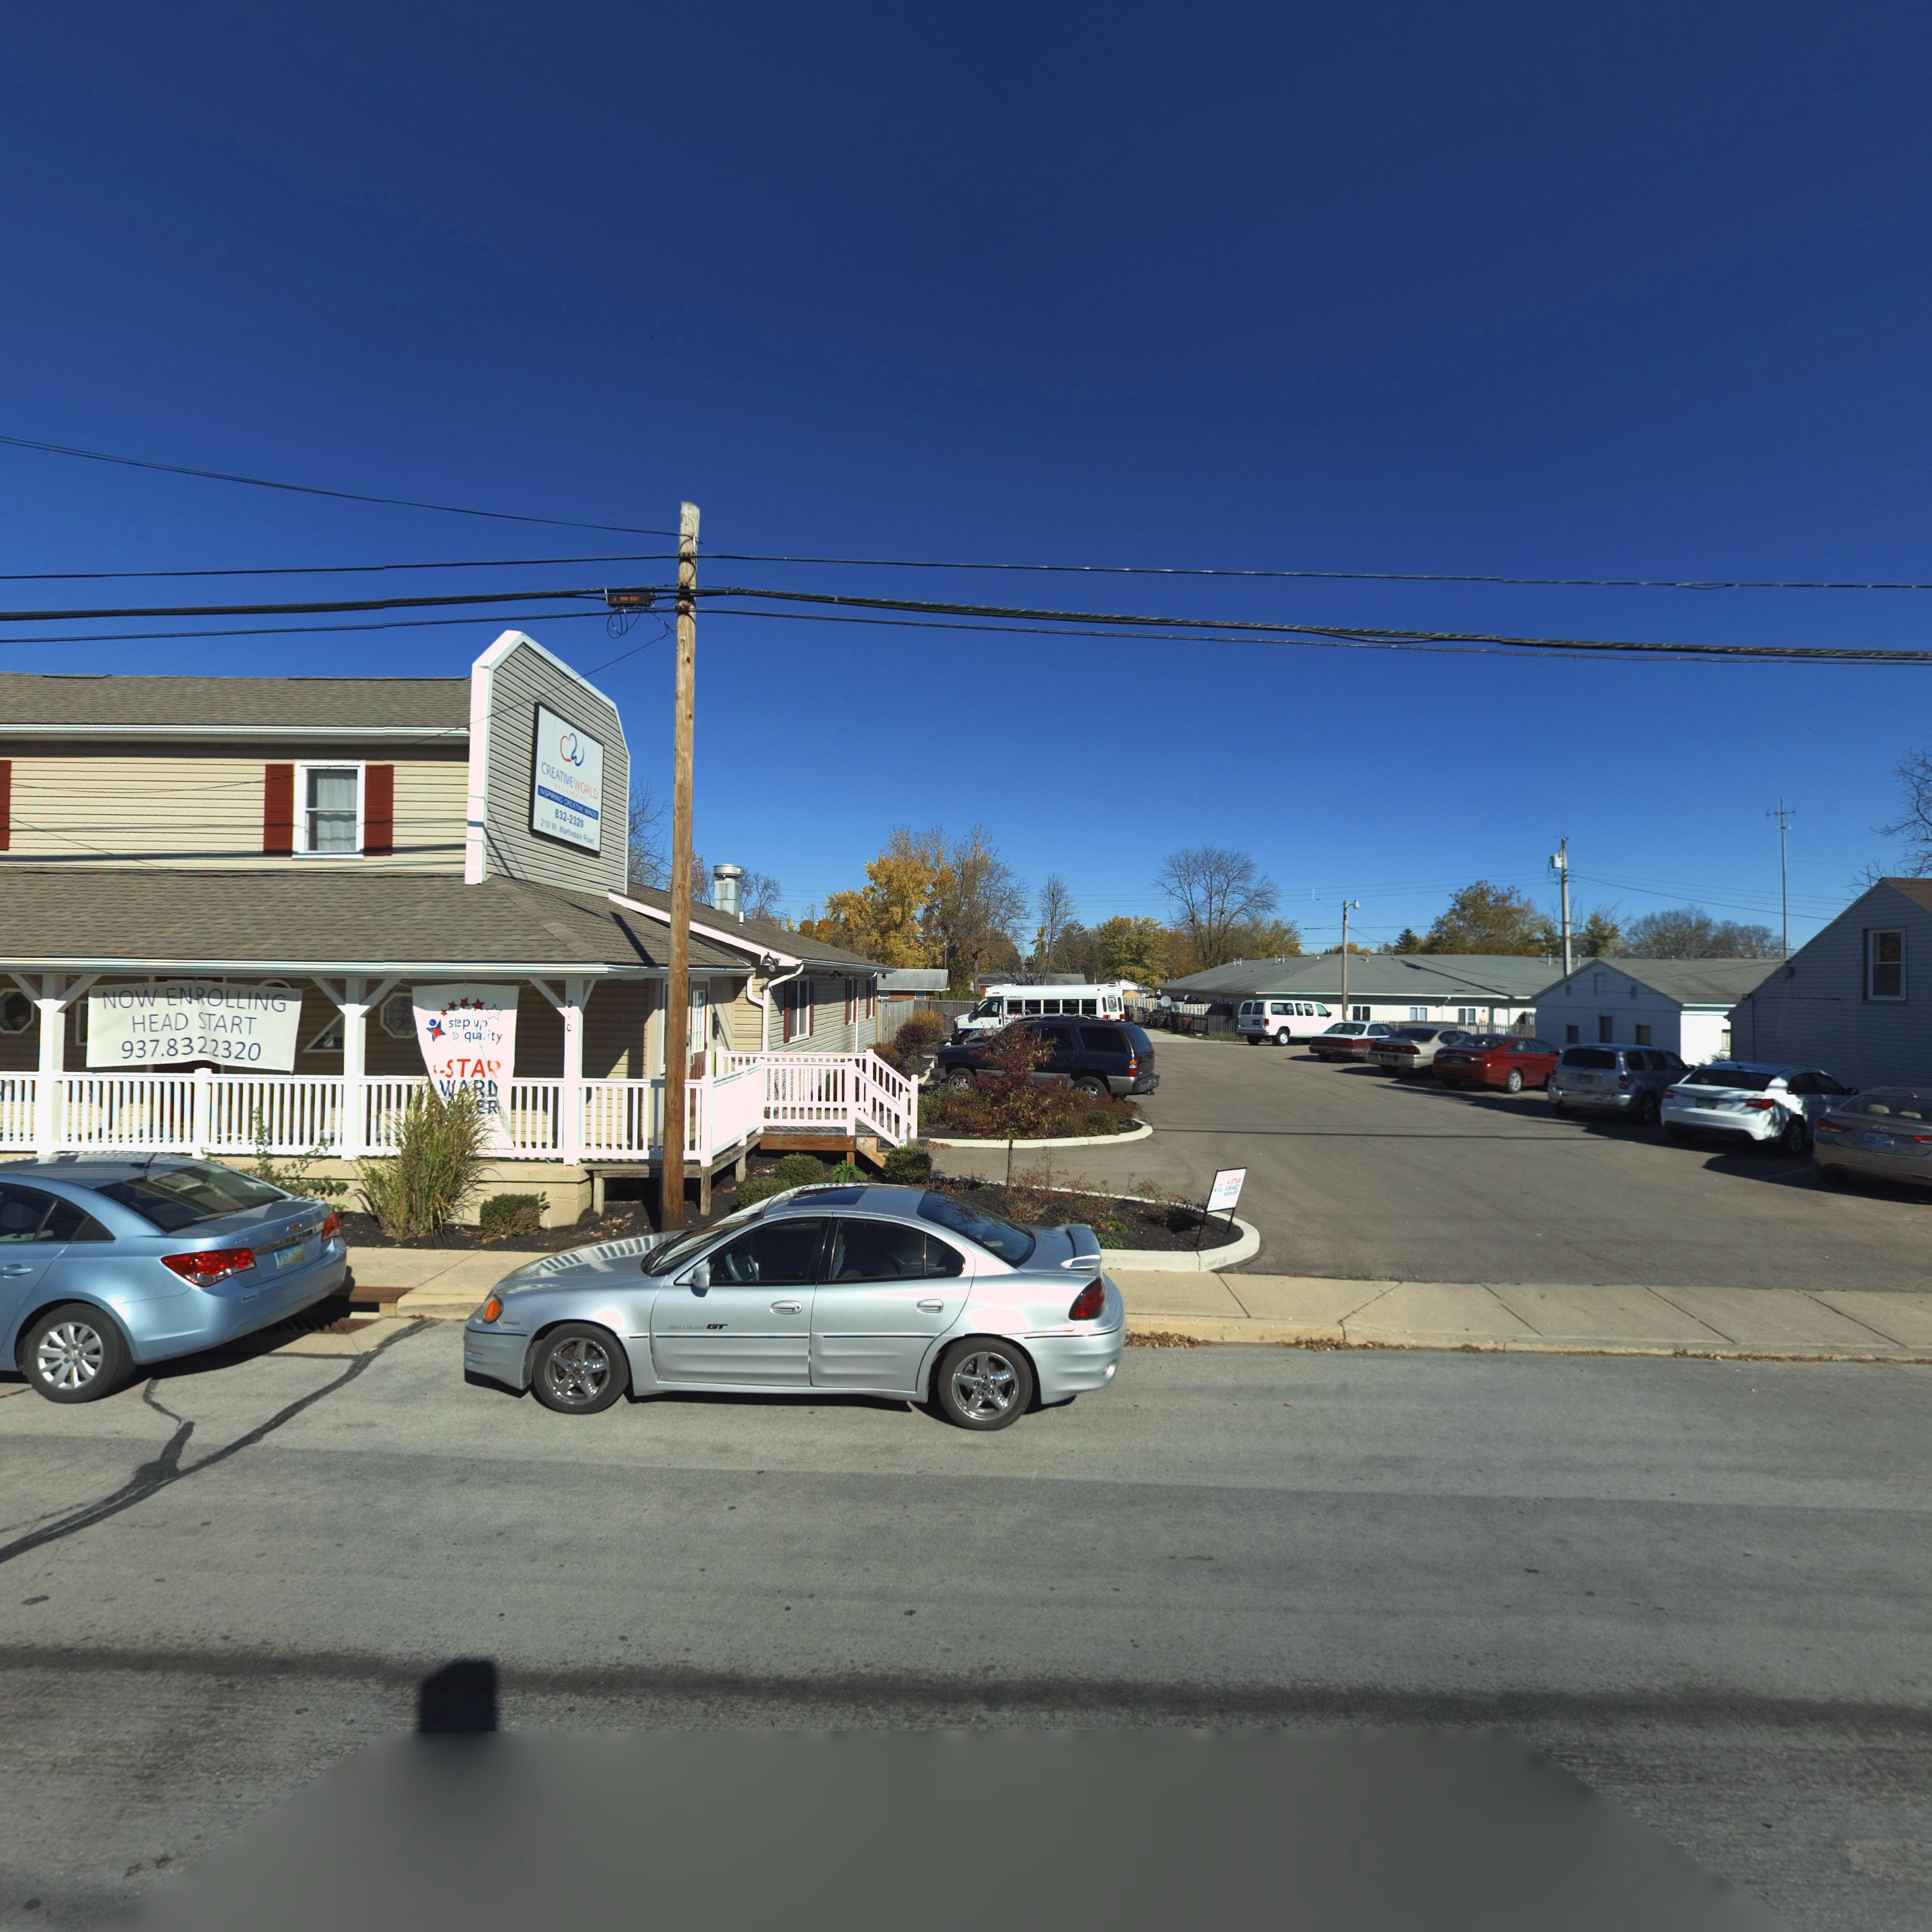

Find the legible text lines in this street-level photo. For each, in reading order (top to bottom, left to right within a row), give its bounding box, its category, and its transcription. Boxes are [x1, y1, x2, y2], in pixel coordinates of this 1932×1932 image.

[541, 760, 599, 801] BusinessName: CREATIVEWORLD
[539, 786, 598, 819] None: INSPIRING CREATIVE MINDS
[553, 782, 587, 804] BusinessName: OF LEARNING
[540, 817, 551, 830] StreetNumber: 210
[553, 808, 585, 830] None: 832-2320
[551, 821, 595, 845] StreetName: W. Martindale Road
[101, 986, 290, 1014] None: NOW ENROLLING
[130, 1011, 260, 1036] None: HEAD START
[448, 1017, 489, 1032] None: step up
[567, 999, 573, 1032] StreetNumber: 210
[463, 1027, 503, 1045] None: q**lity
[120, 1035, 263, 1063] None: 937.832.2320
[456, 1057, 488, 1079] None: TA
[487, 1100, 498, 1115] None: R
[1229, 1177, 1242, 1186] None: STAR